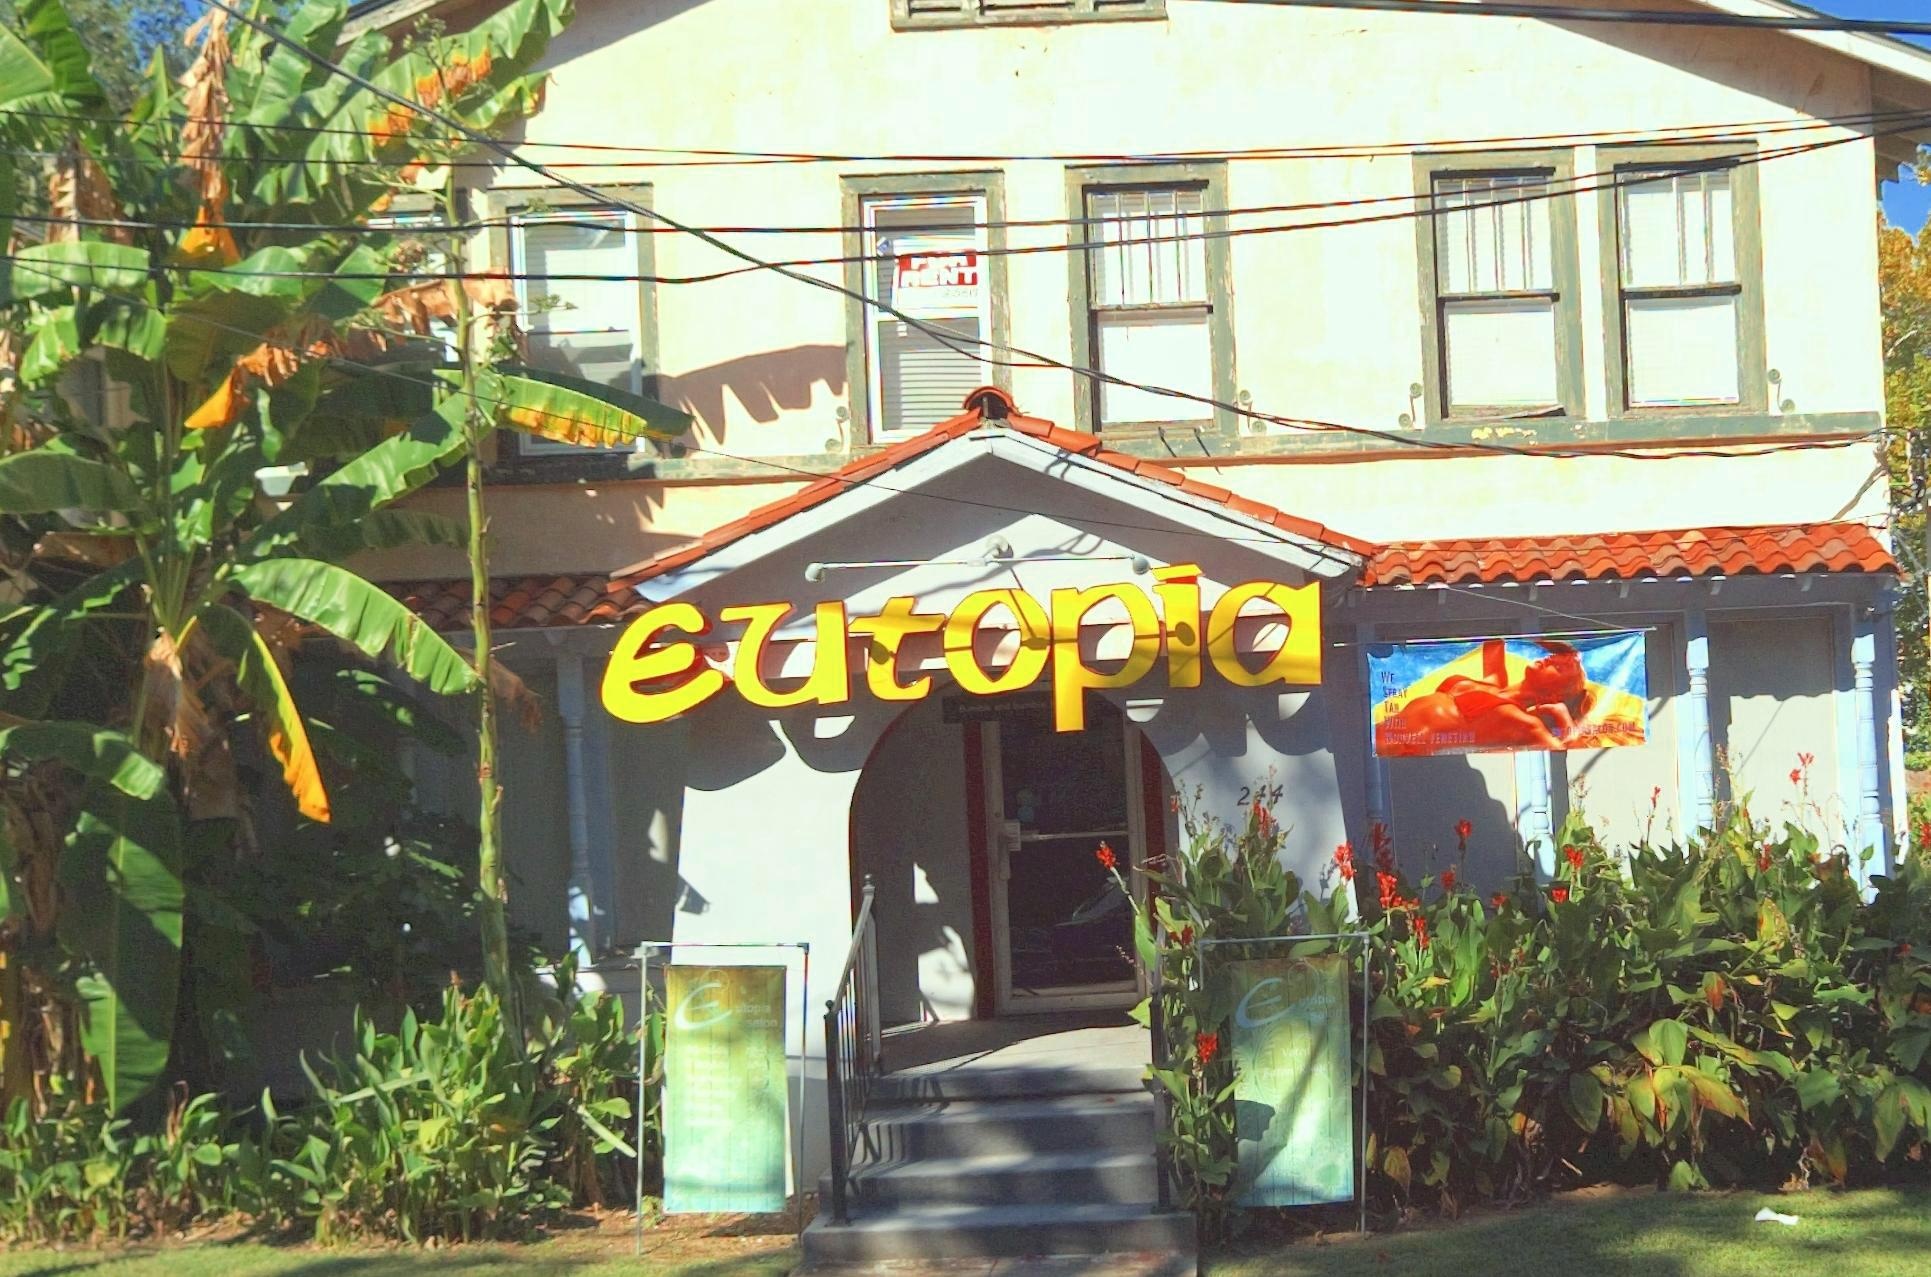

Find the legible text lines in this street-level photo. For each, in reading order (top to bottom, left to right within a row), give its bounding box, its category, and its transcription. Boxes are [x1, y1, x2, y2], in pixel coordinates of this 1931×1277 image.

[899, 266, 978, 289] None: RENT
[596, 561, 1327, 737] BusinessName: eutopia
[1380, 670, 1396, 685] None: WE
[1381, 685, 1409, 700] None: SPRAY
[1382, 699, 1403, 714] None: TAN
[1382, 715, 1409, 731] None: WIT*
[1235, 783, 1285, 808] StreetNumber: 2*4
[670, 979, 772, 1033] BusinessName: Eutopia
[1233, 974, 1337, 1032] BusinessName: Eutopia
[1309, 1006, 1344, 1021] None: salon
[744, 1015, 779, 1029] None: salon